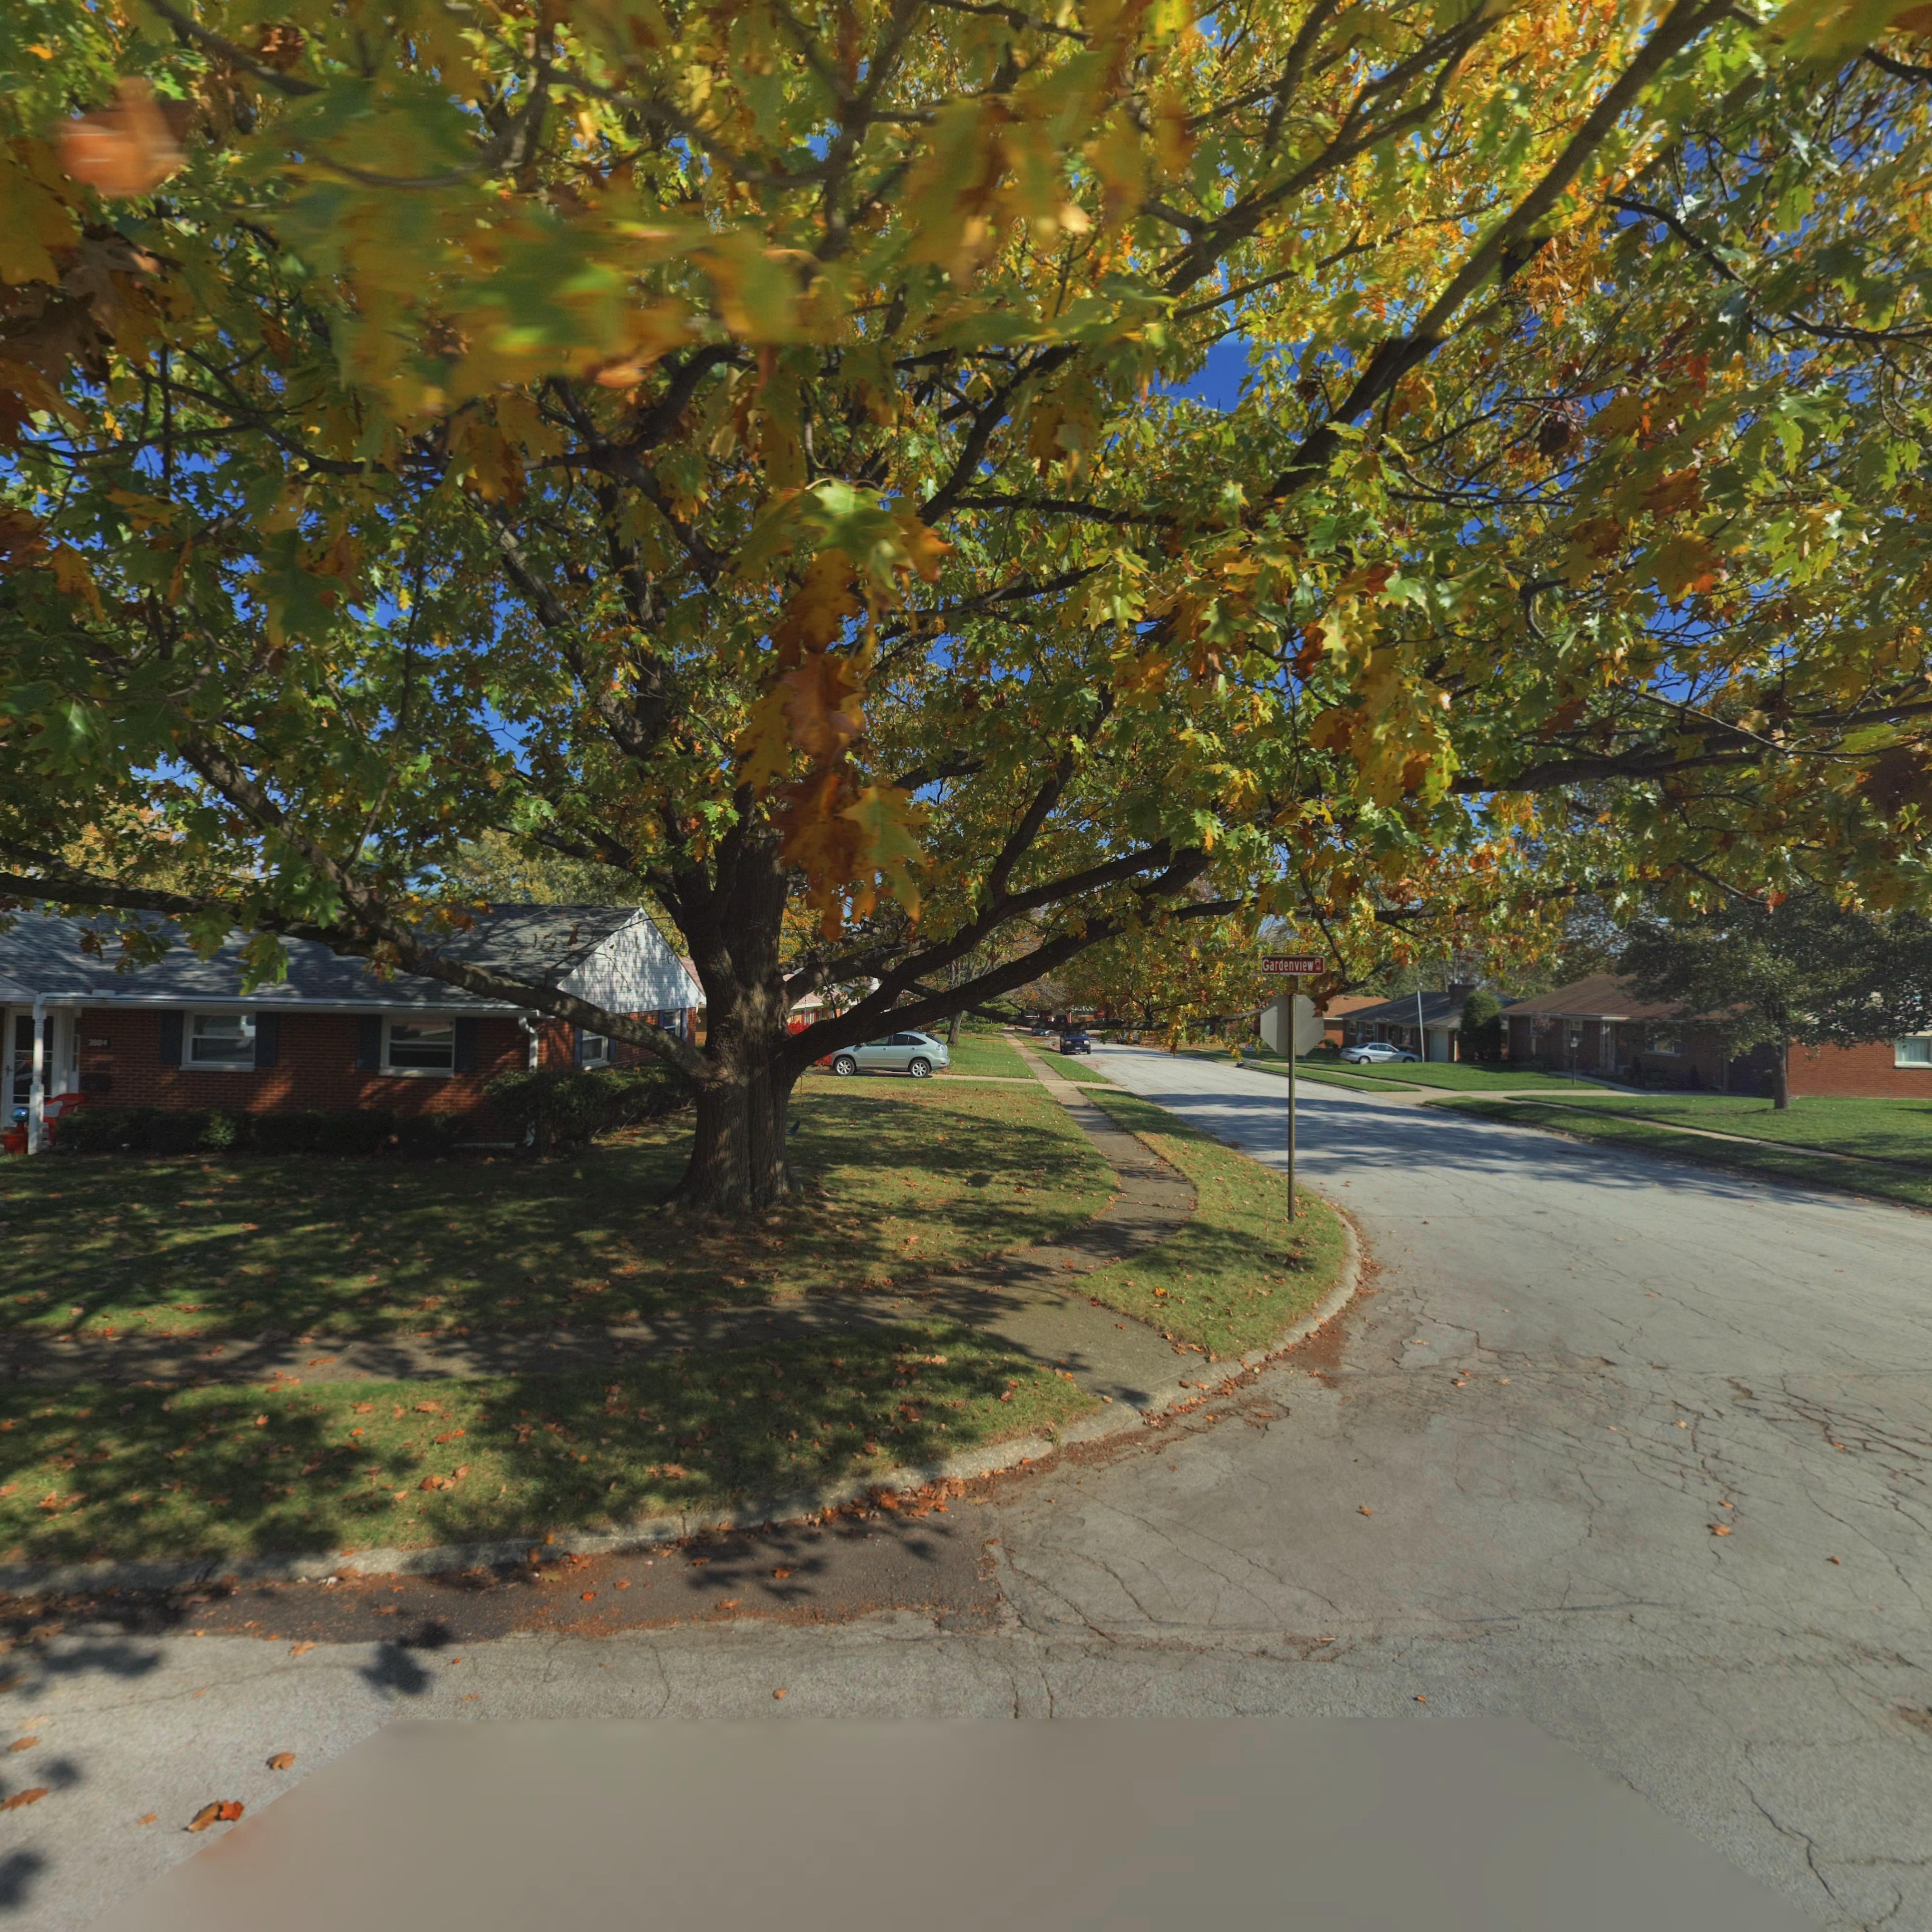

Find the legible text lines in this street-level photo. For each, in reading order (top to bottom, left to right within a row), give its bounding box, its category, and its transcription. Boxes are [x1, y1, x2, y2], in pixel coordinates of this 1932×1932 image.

[1262, 957, 1321, 971] StreetName: Gardenview Pl
[1098, 1012, 1104, 1015] None: STOP
[87, 1038, 107, 1046] StreetNumber: 3884